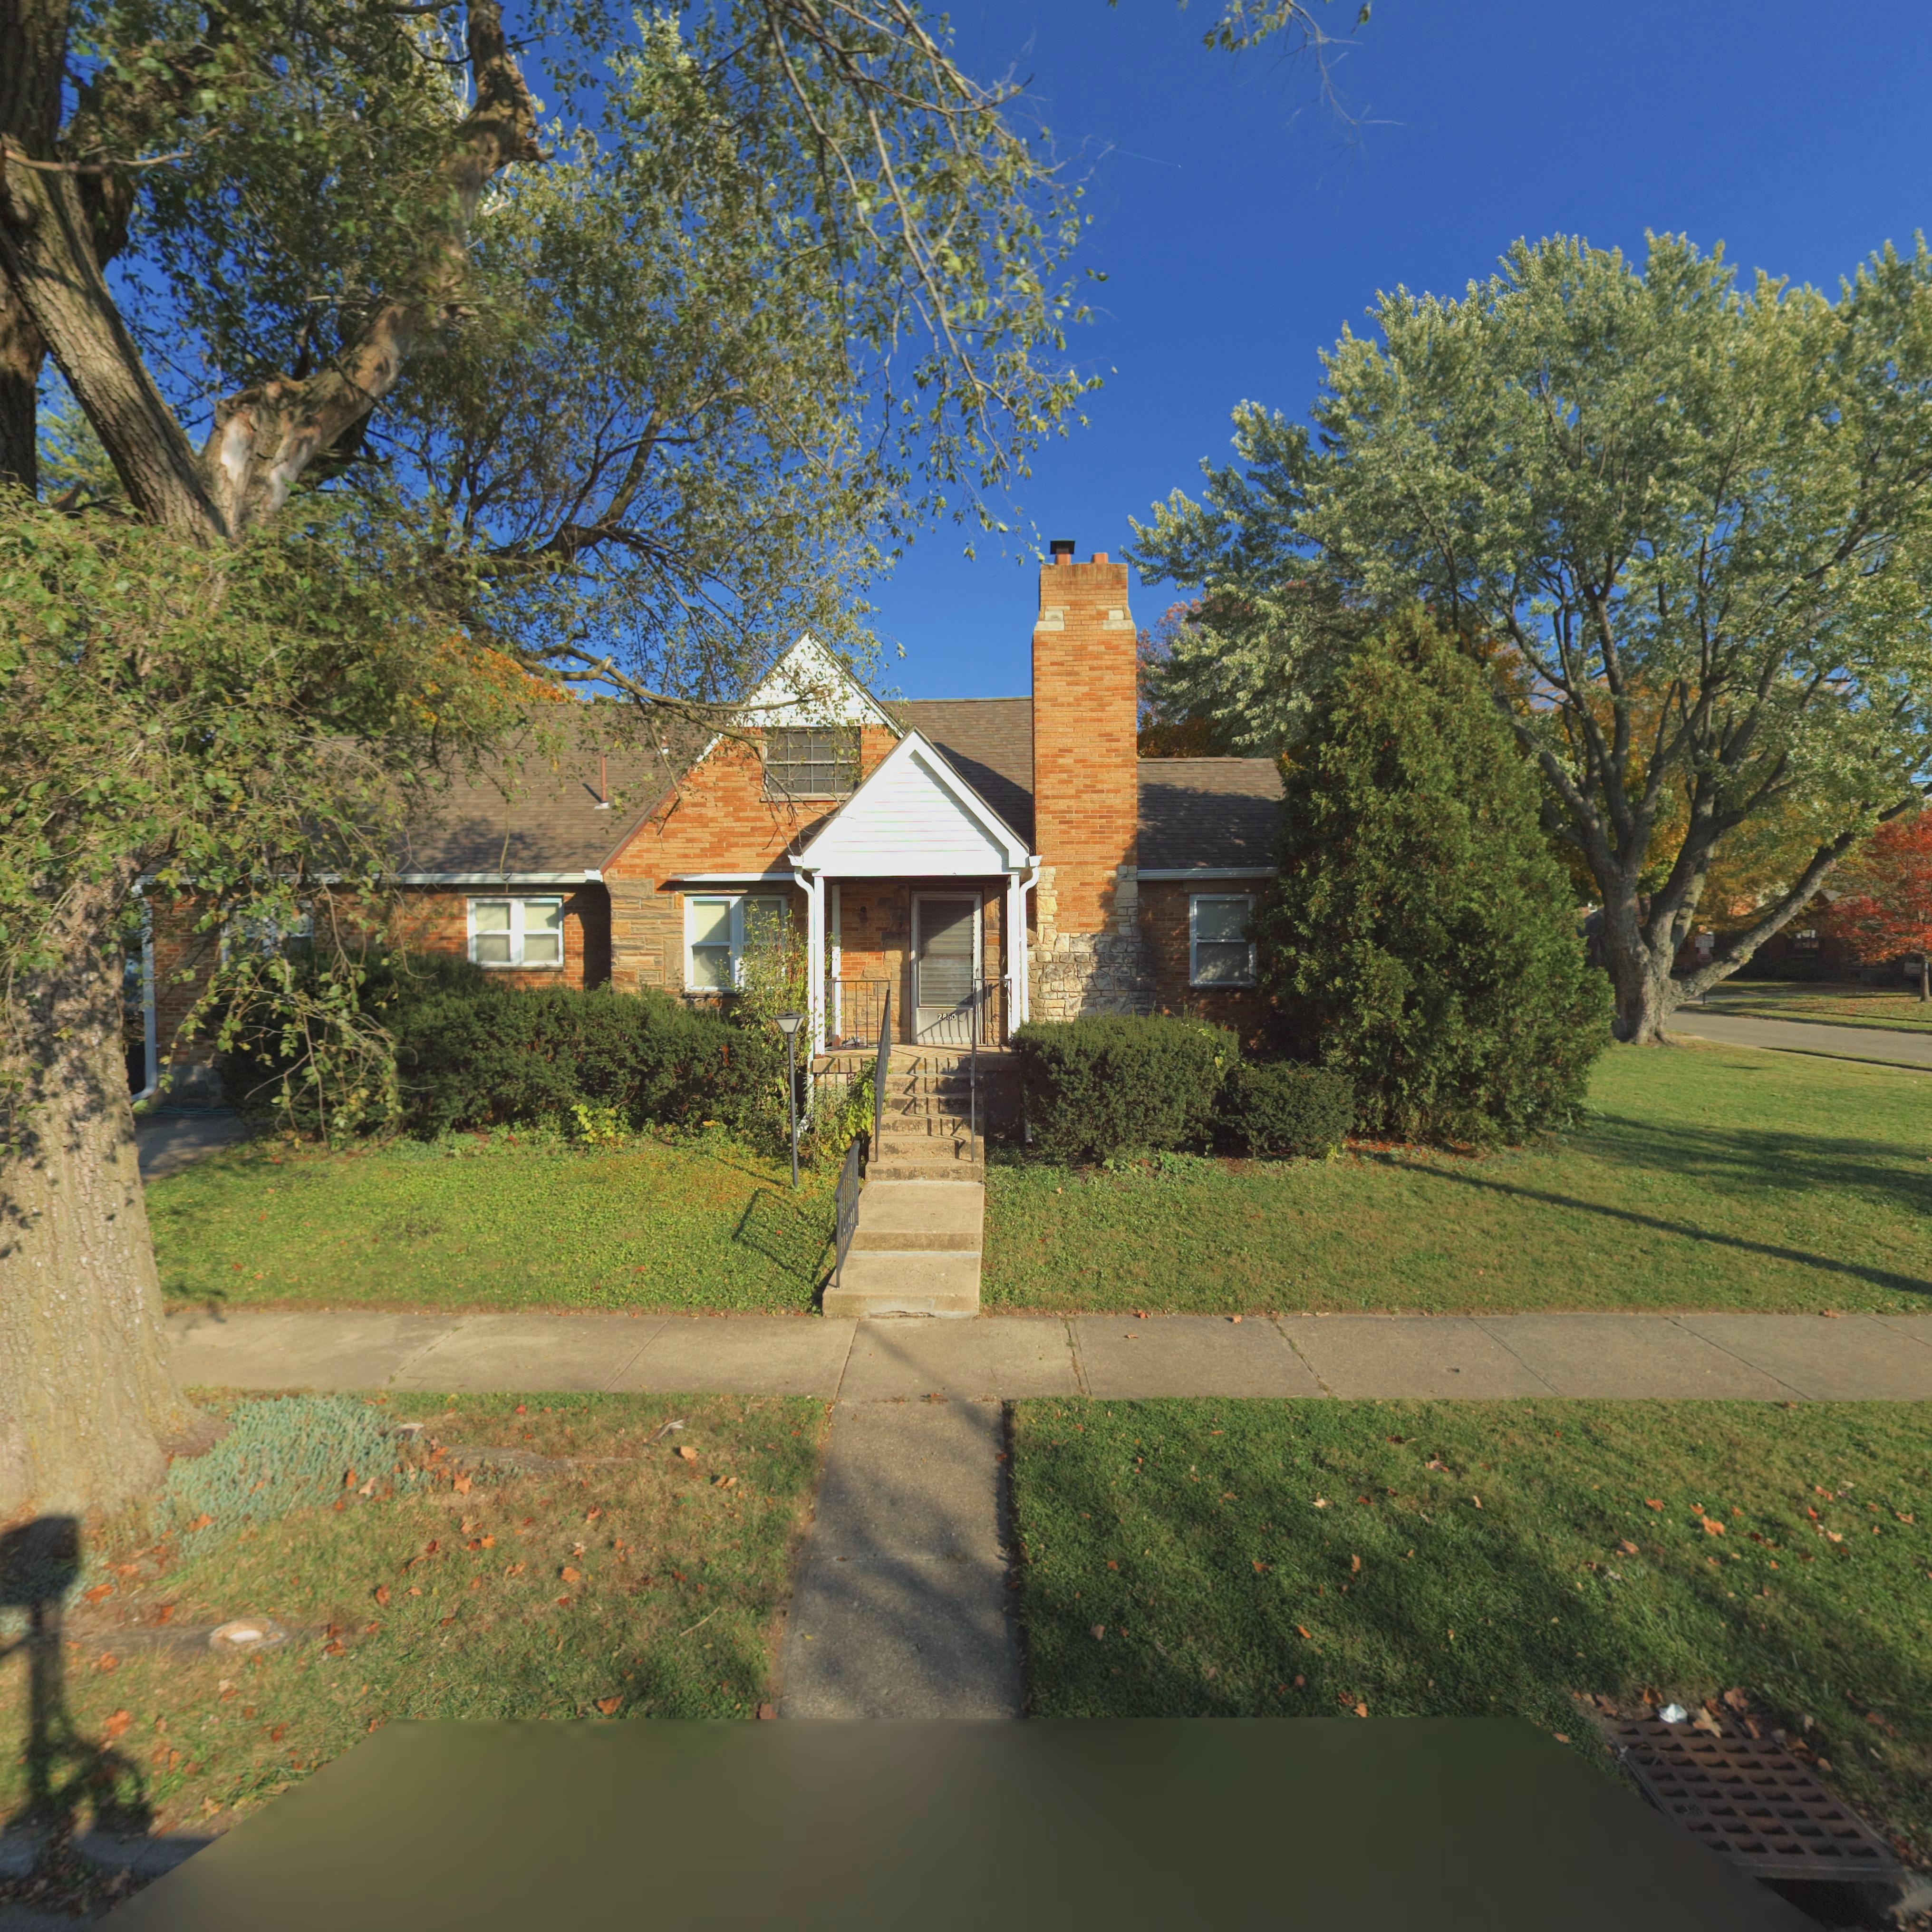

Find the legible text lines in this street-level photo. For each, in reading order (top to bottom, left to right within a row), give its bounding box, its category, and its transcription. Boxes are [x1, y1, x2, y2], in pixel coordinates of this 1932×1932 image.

[937, 1013, 956, 1021] StreetNumber: 2860